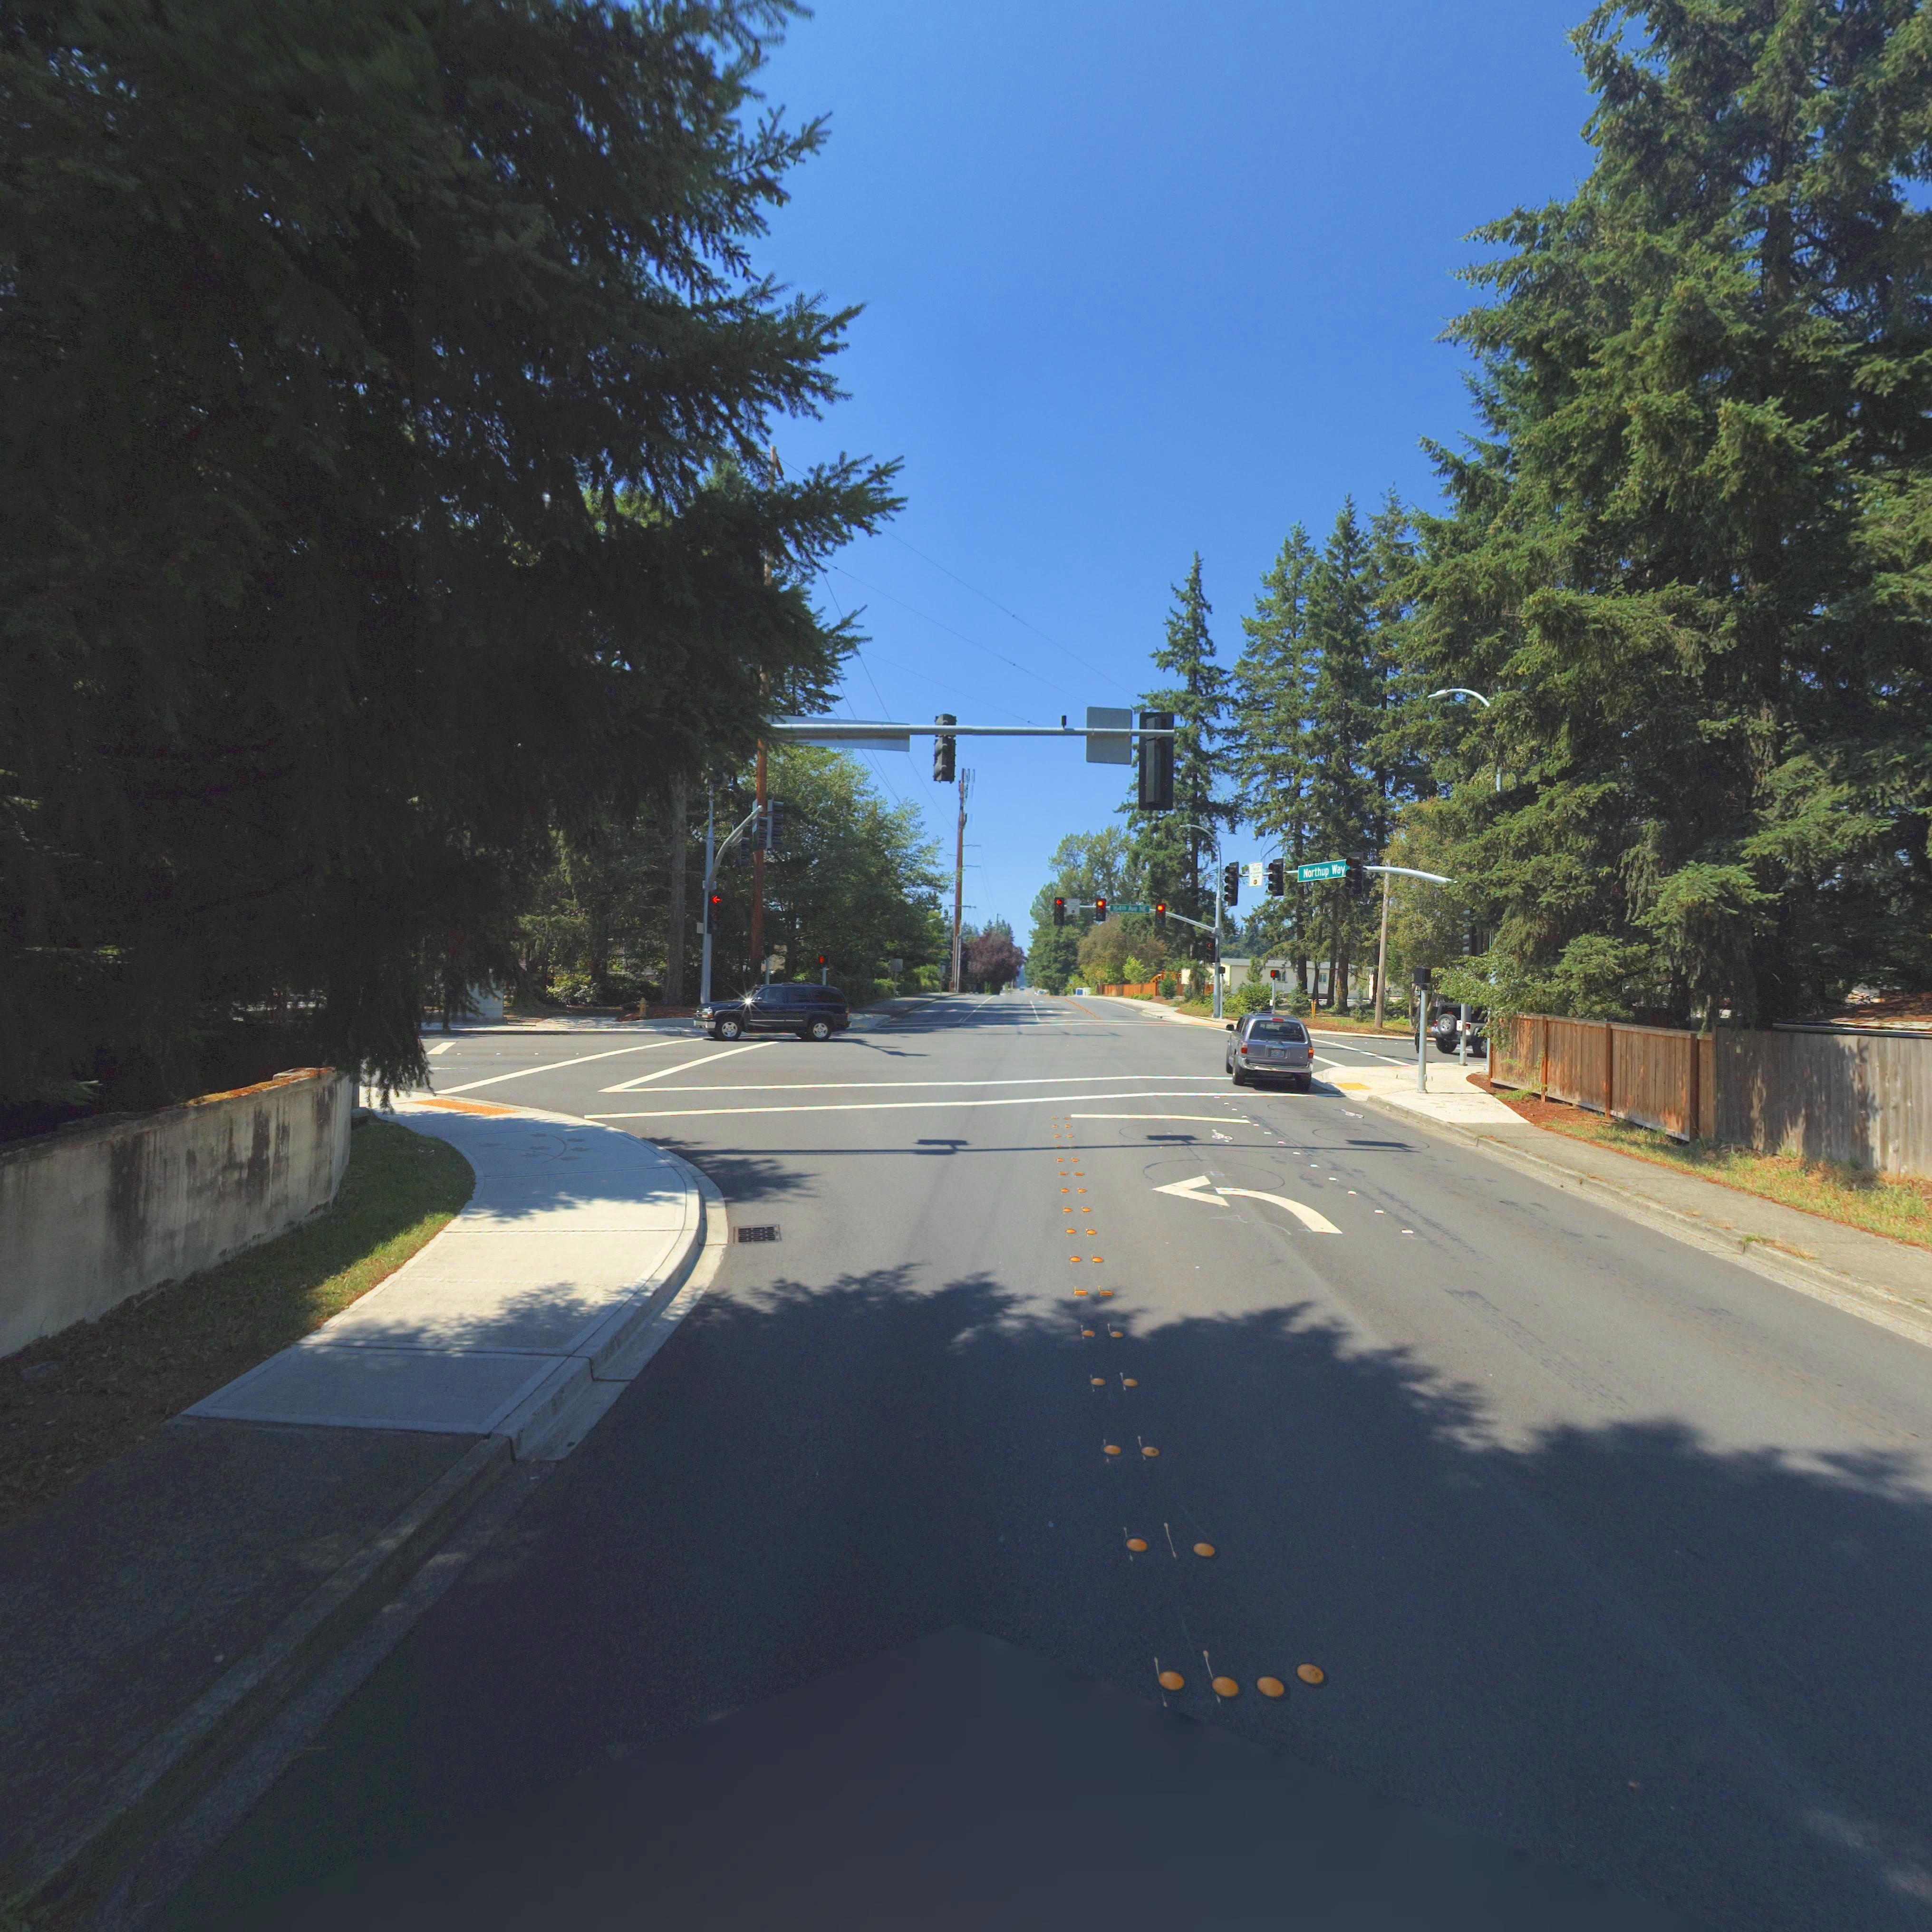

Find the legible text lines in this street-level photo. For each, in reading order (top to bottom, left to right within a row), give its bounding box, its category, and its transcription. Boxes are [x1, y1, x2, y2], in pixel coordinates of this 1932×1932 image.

[1303, 864, 1346, 878] StreetName: Northup Way
[1112, 905, 1146, 912] StreetName: 164th Ave NE